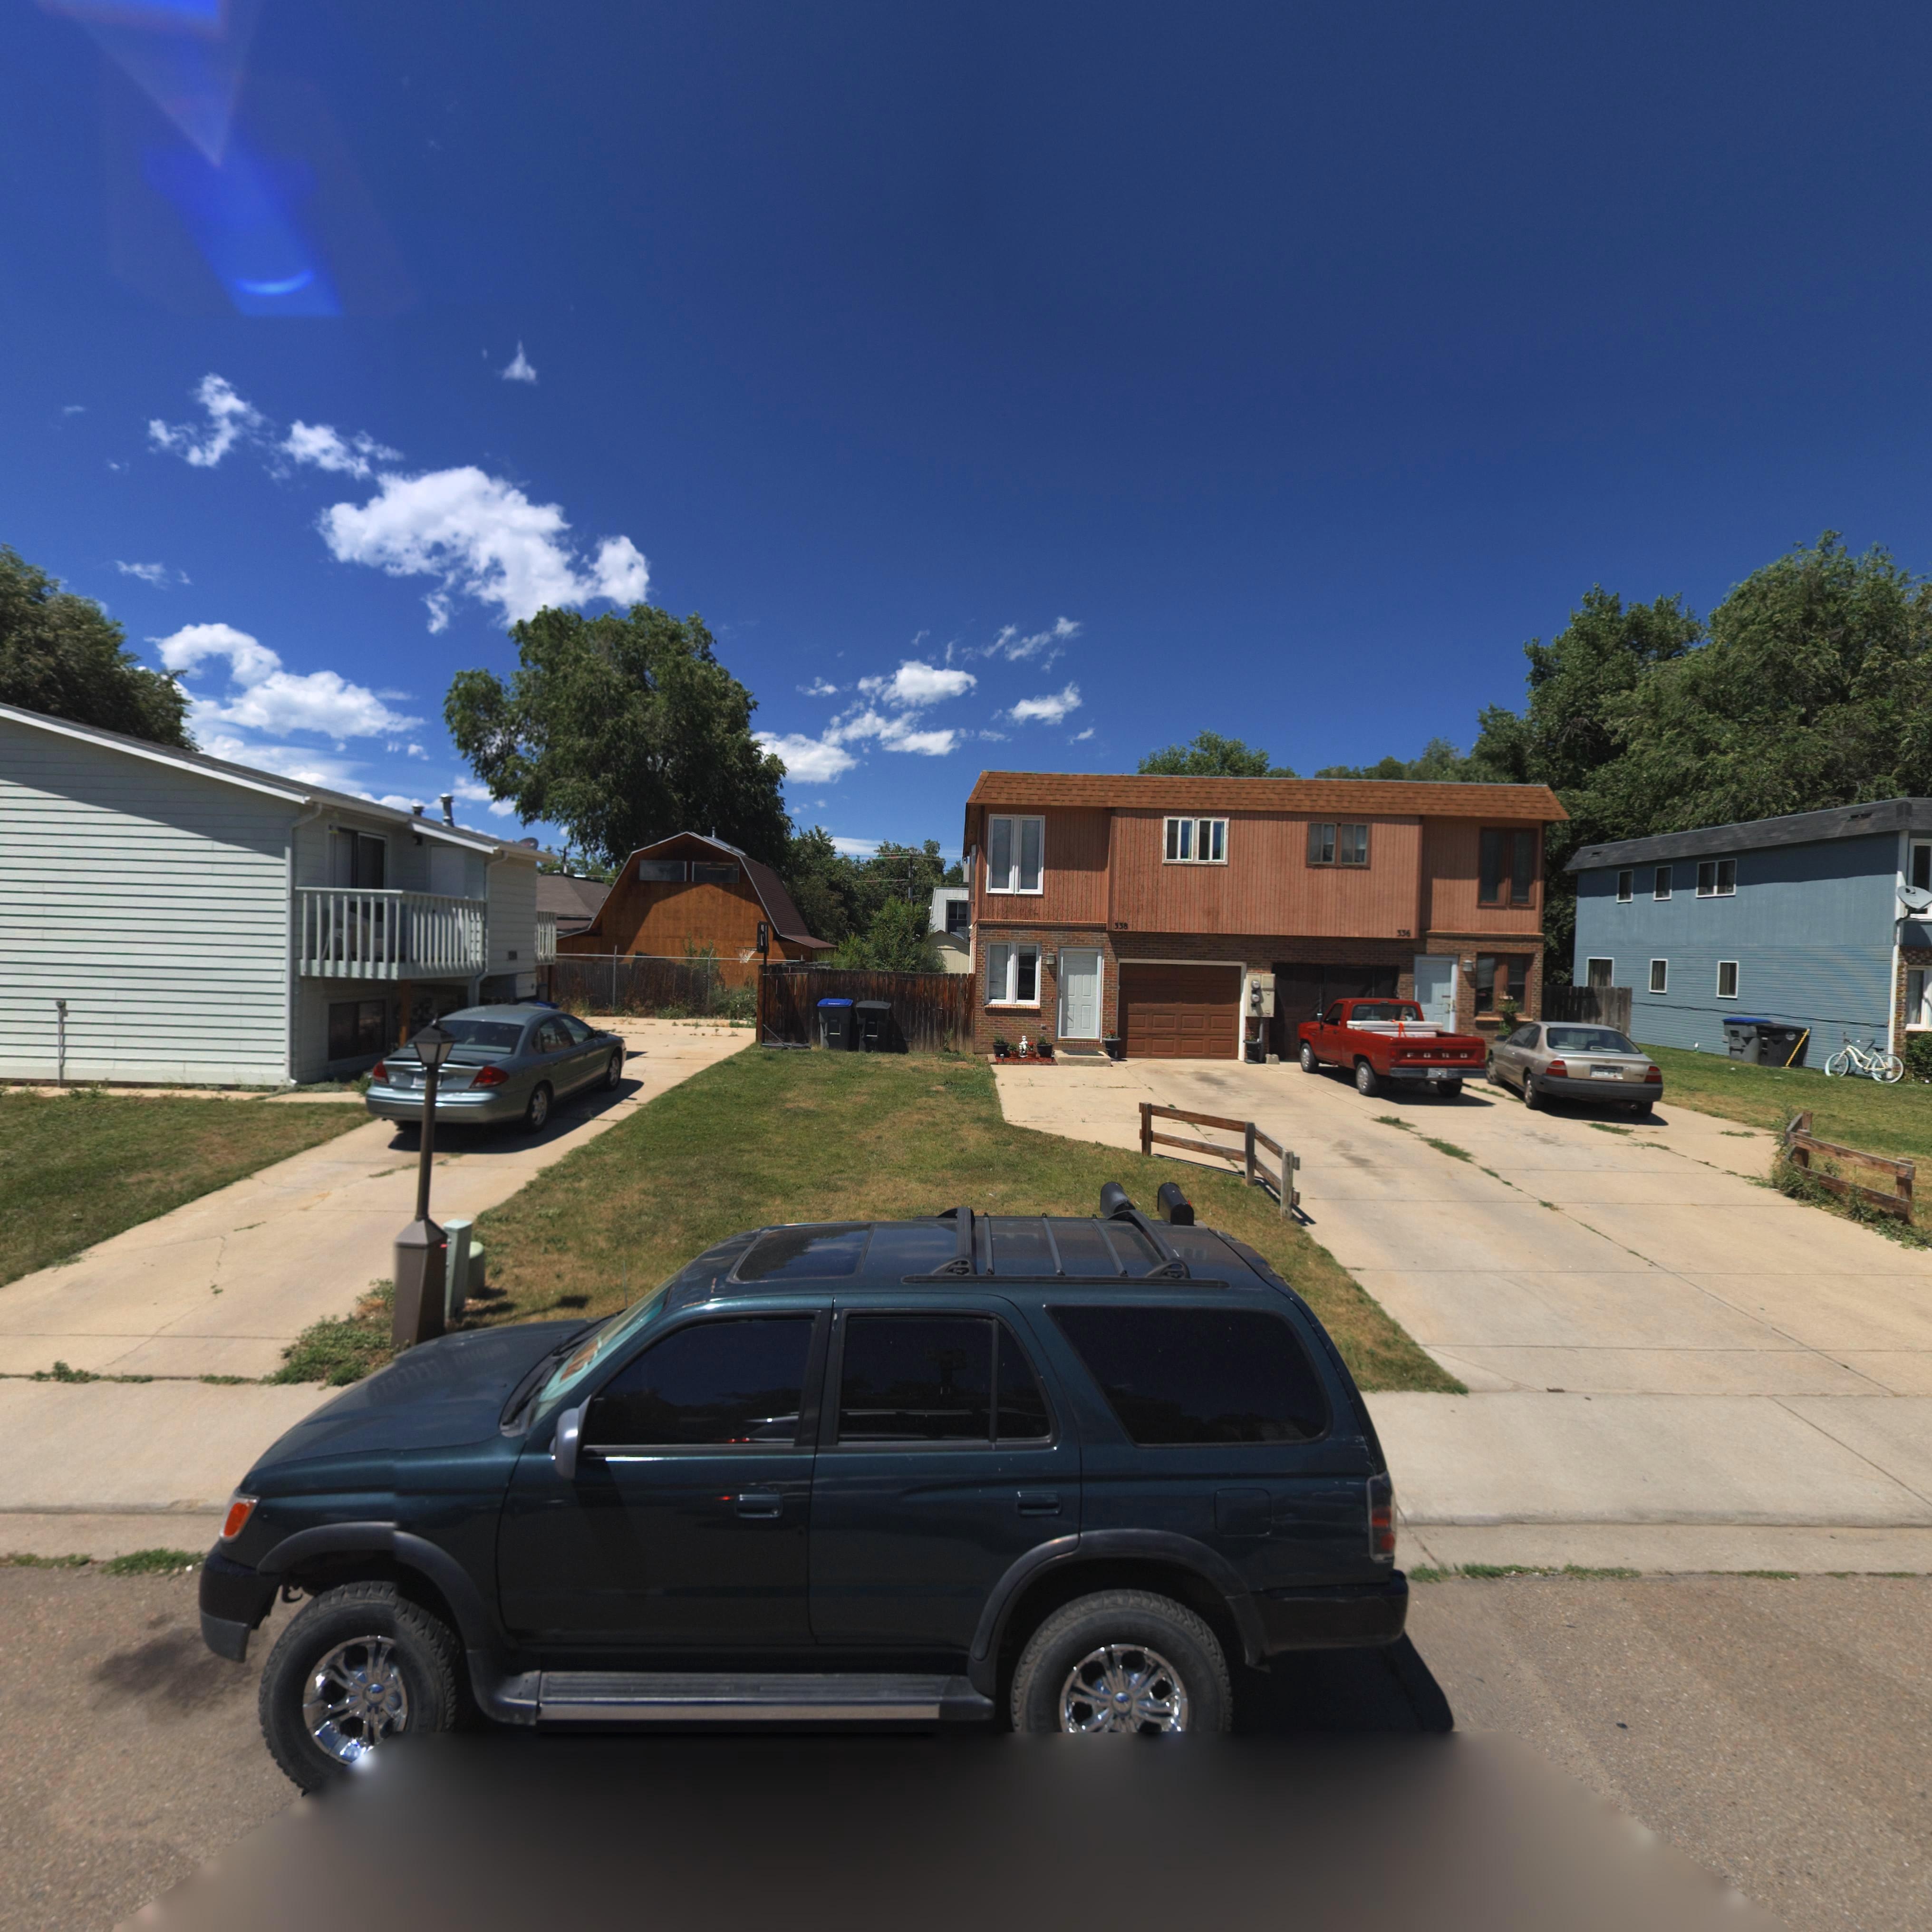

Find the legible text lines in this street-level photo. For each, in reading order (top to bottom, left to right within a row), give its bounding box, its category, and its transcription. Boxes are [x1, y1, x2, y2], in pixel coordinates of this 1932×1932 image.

[1114, 922, 1128, 929] StreetNumber: 338
[1396, 928, 1410, 937] StreetNumber: 336